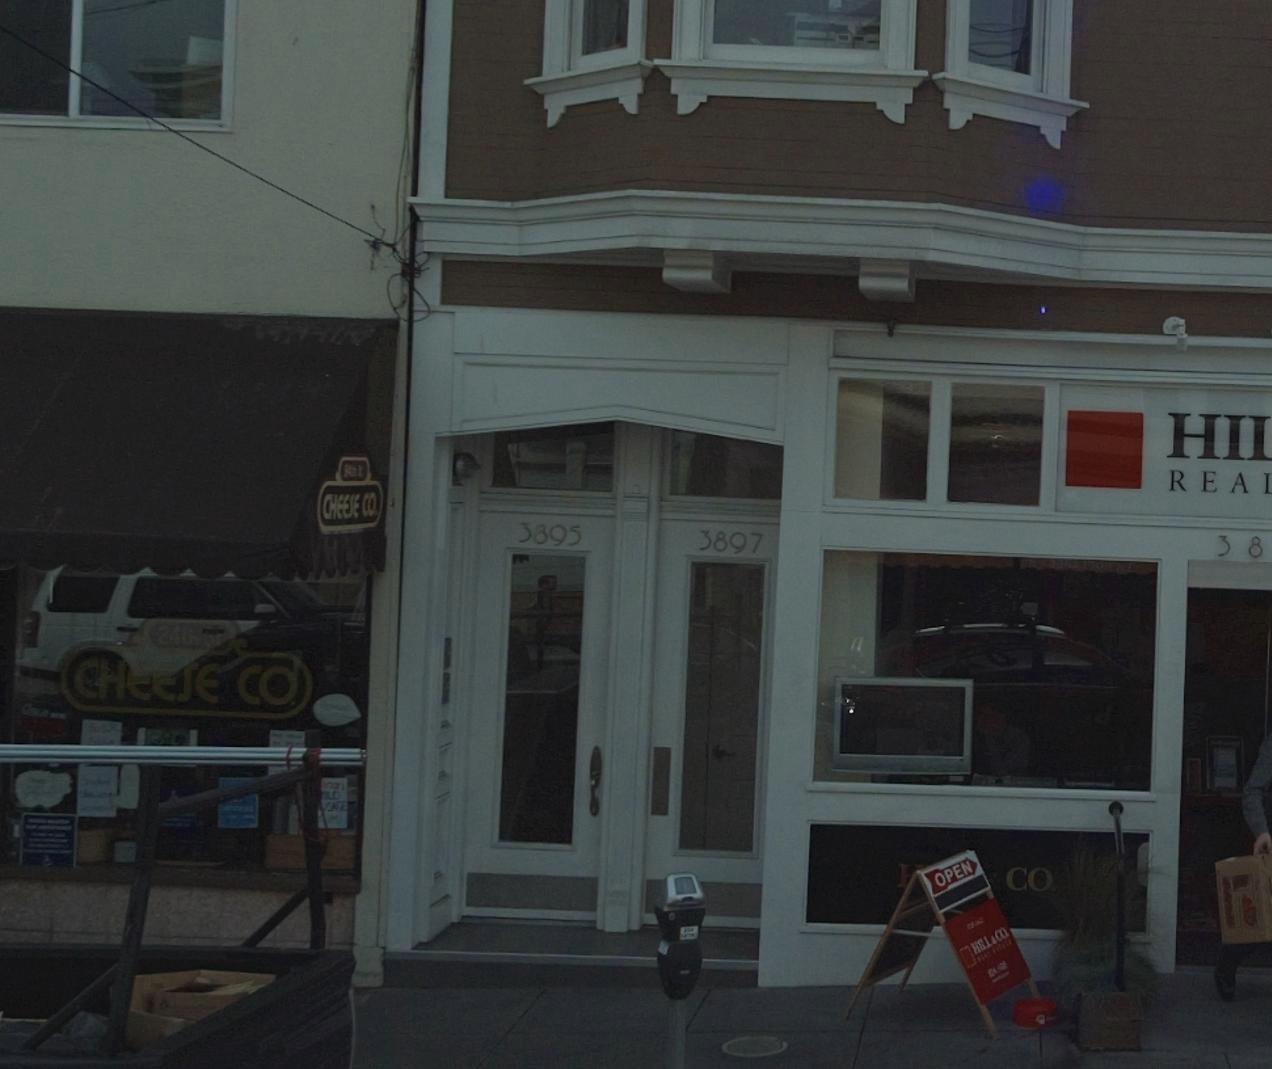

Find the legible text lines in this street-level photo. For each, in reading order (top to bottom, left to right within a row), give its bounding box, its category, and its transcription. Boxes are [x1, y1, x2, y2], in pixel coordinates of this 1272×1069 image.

[1164, 408, 1272, 462] BusinessName: HI*
[341, 463, 366, 480] StreetName: 24th St.
[1167, 467, 1272, 496] BusinessName: REA*
[321, 491, 379, 521] BusinessName: CHEESE CO.
[517, 521, 583, 547] StreetNumber: 3895
[698, 529, 765, 555] StreetNumber: 3897
[1216, 533, 1264, 559] StreetNumber: 38
[155, 623, 227, 650] BusinessName: 24th St.
[72, 657, 302, 708] BusinessName: CHEESE CO.
[931, 858, 976, 890] None: OPEN
[1004, 864, 1060, 895] None: CO.
[968, 922, 1012, 956] BusinessName: HILL & CO.